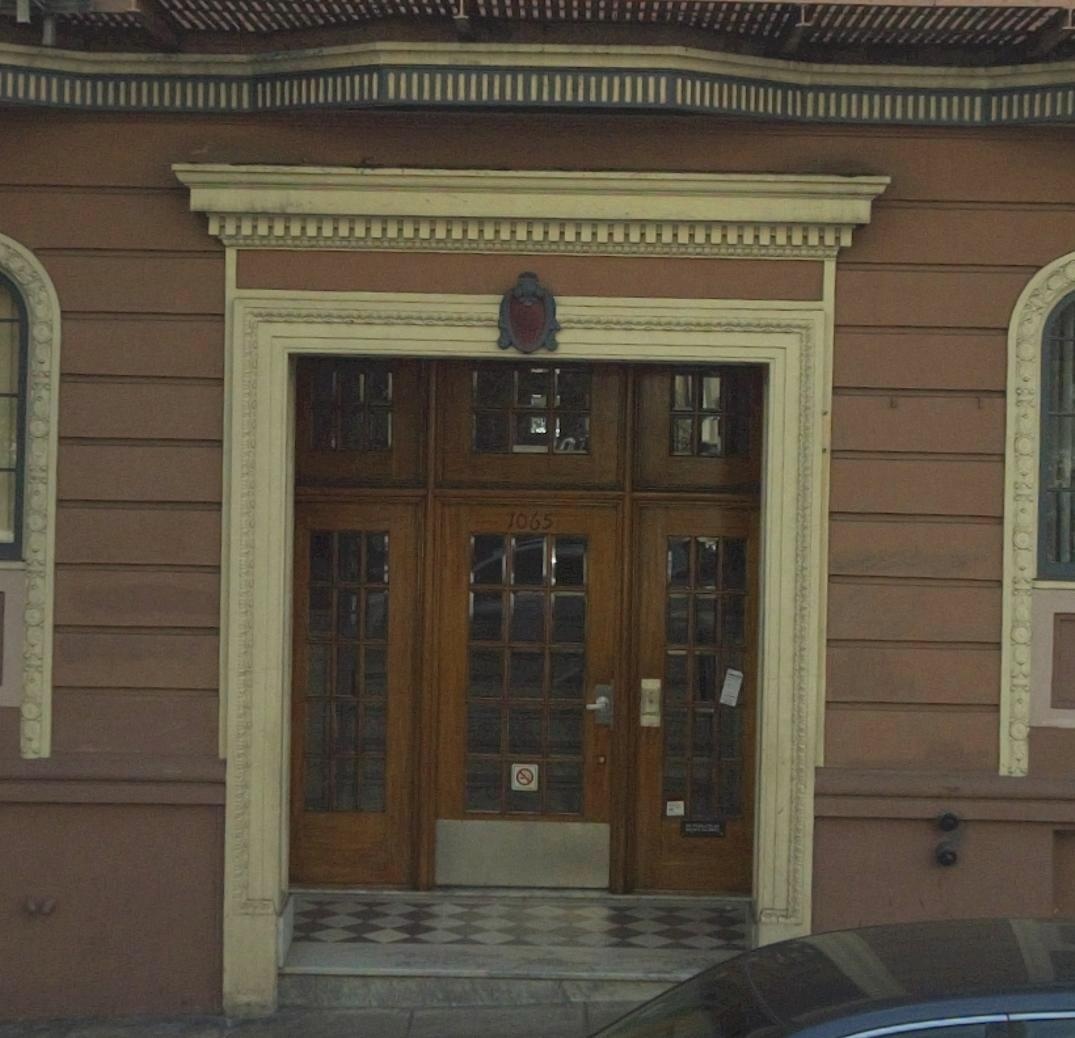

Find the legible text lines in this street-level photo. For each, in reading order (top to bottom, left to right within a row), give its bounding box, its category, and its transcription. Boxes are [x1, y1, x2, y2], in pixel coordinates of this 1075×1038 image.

[502, 508, 557, 534] StreetNumber: 1065